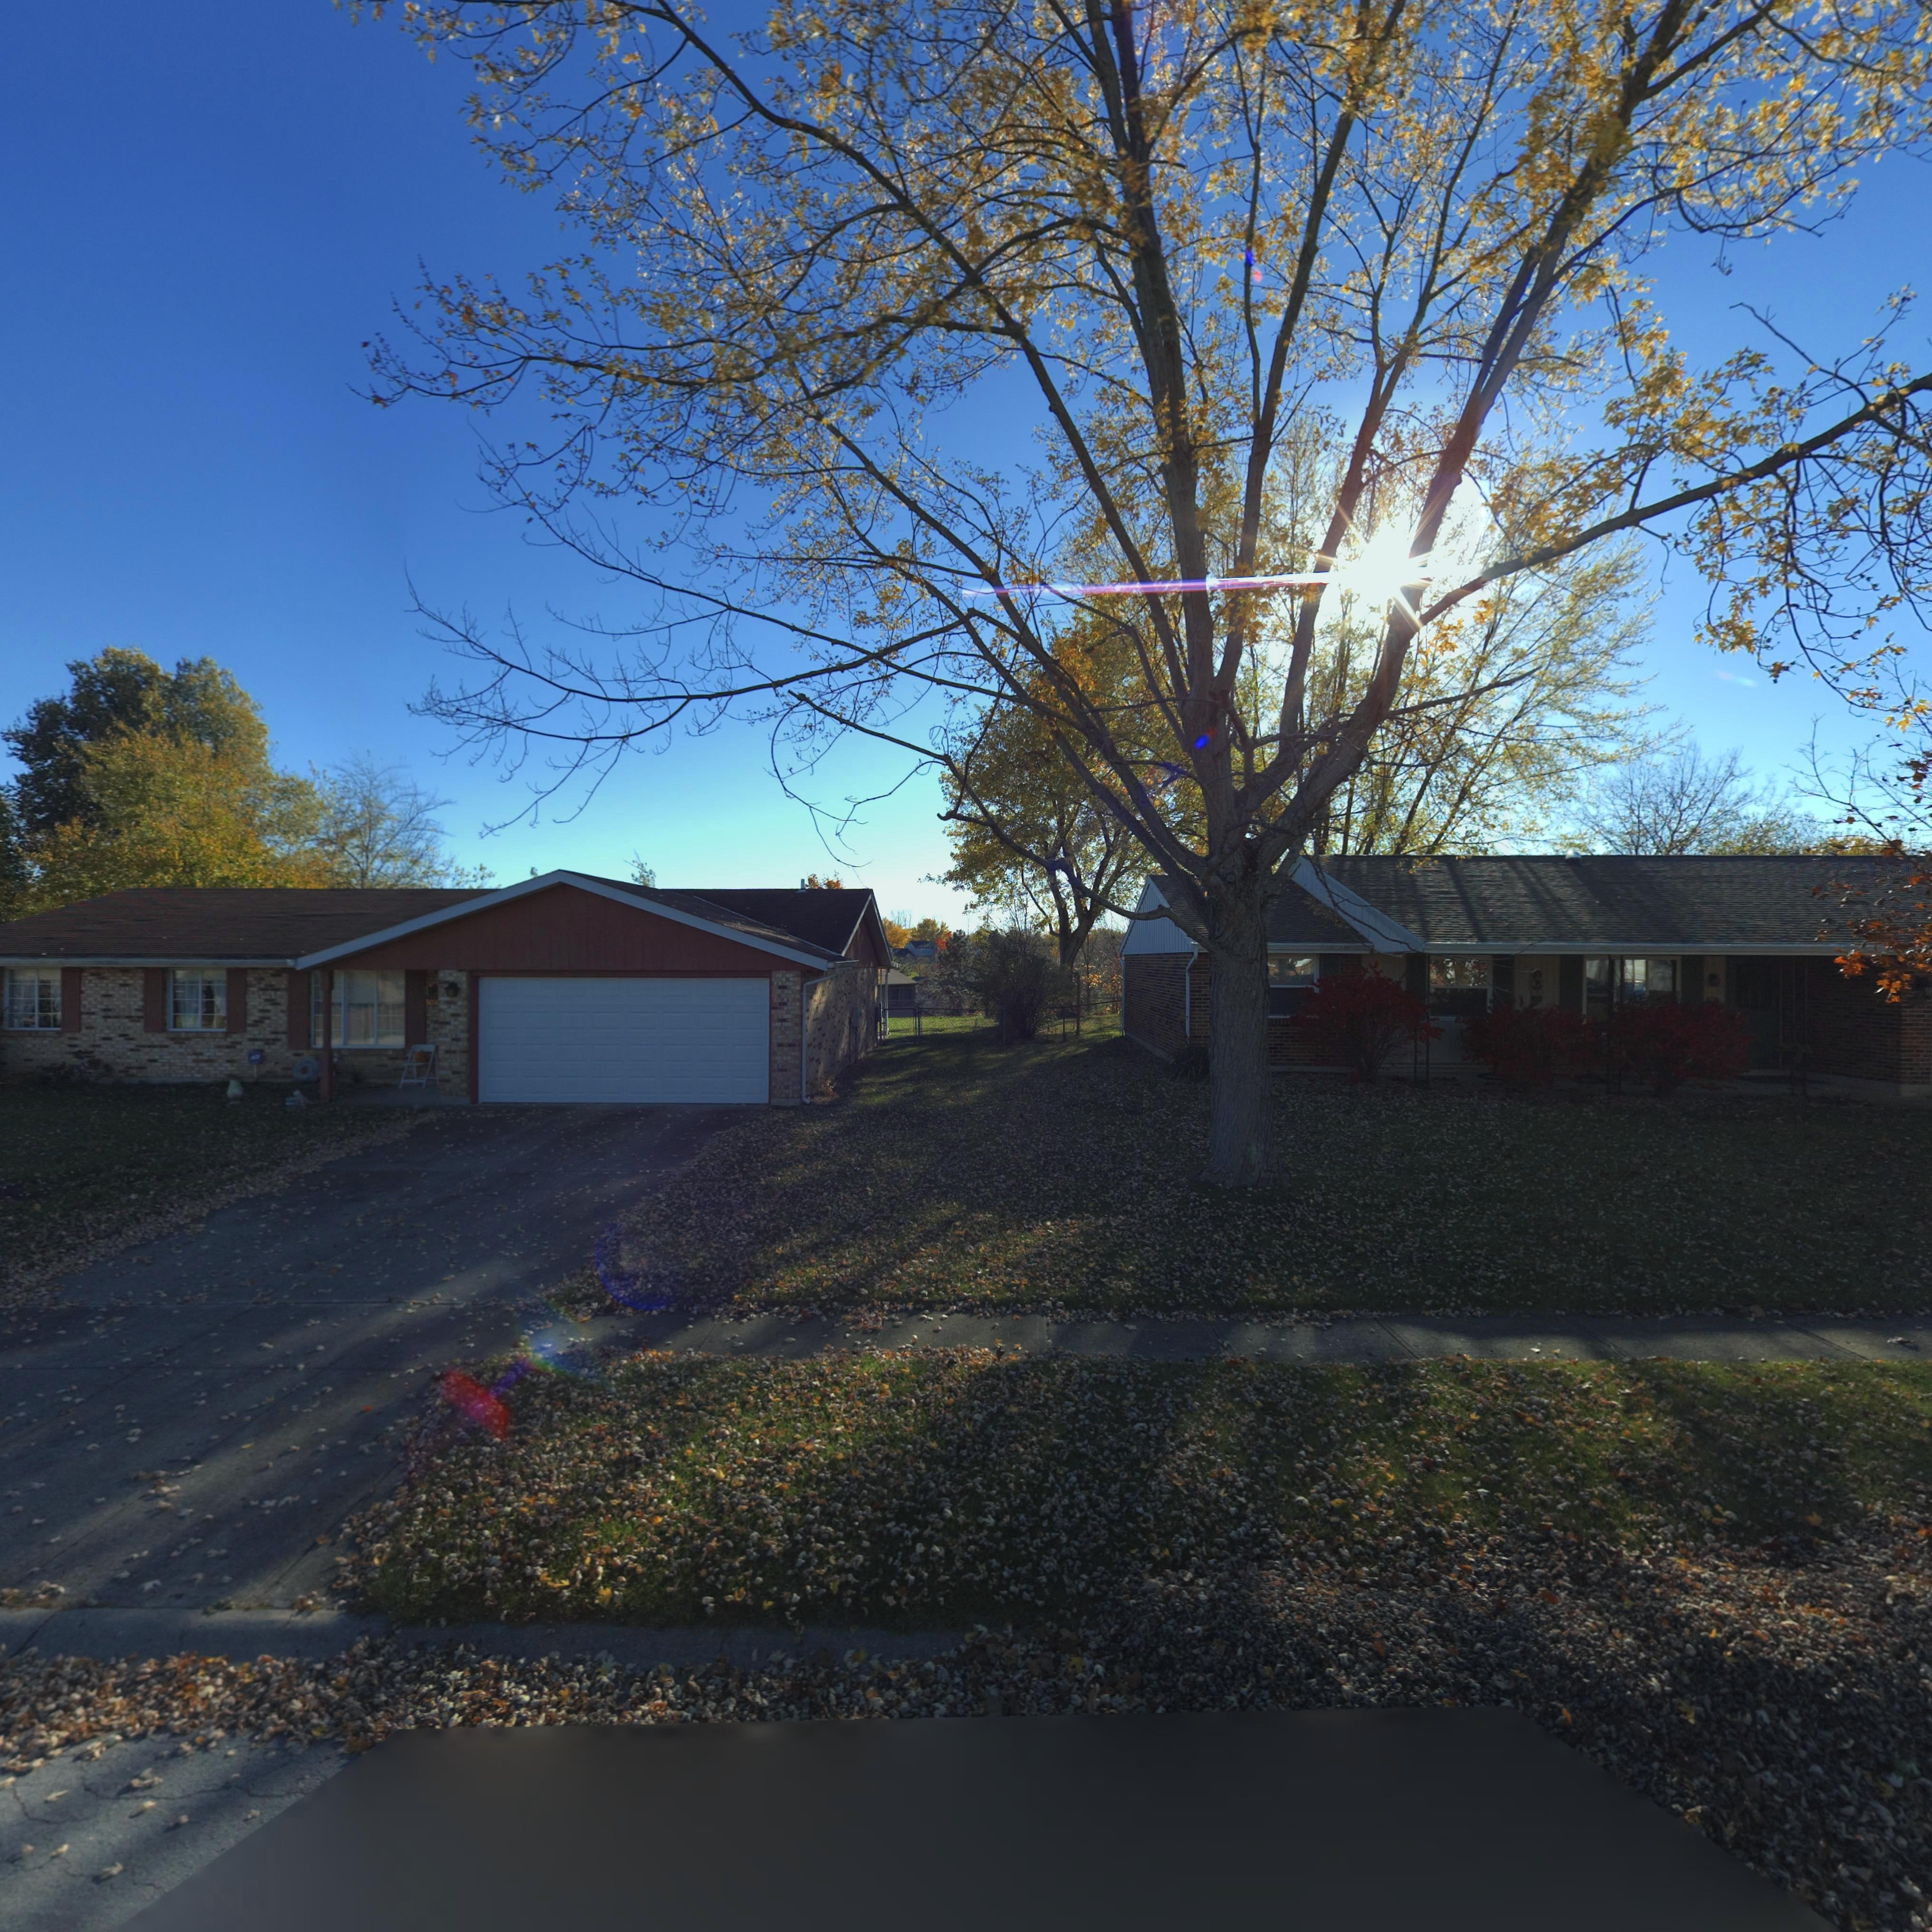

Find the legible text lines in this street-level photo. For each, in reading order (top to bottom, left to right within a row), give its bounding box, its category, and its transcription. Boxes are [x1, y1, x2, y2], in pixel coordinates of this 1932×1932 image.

[425, 998, 439, 1005] StreetNumber: 50**